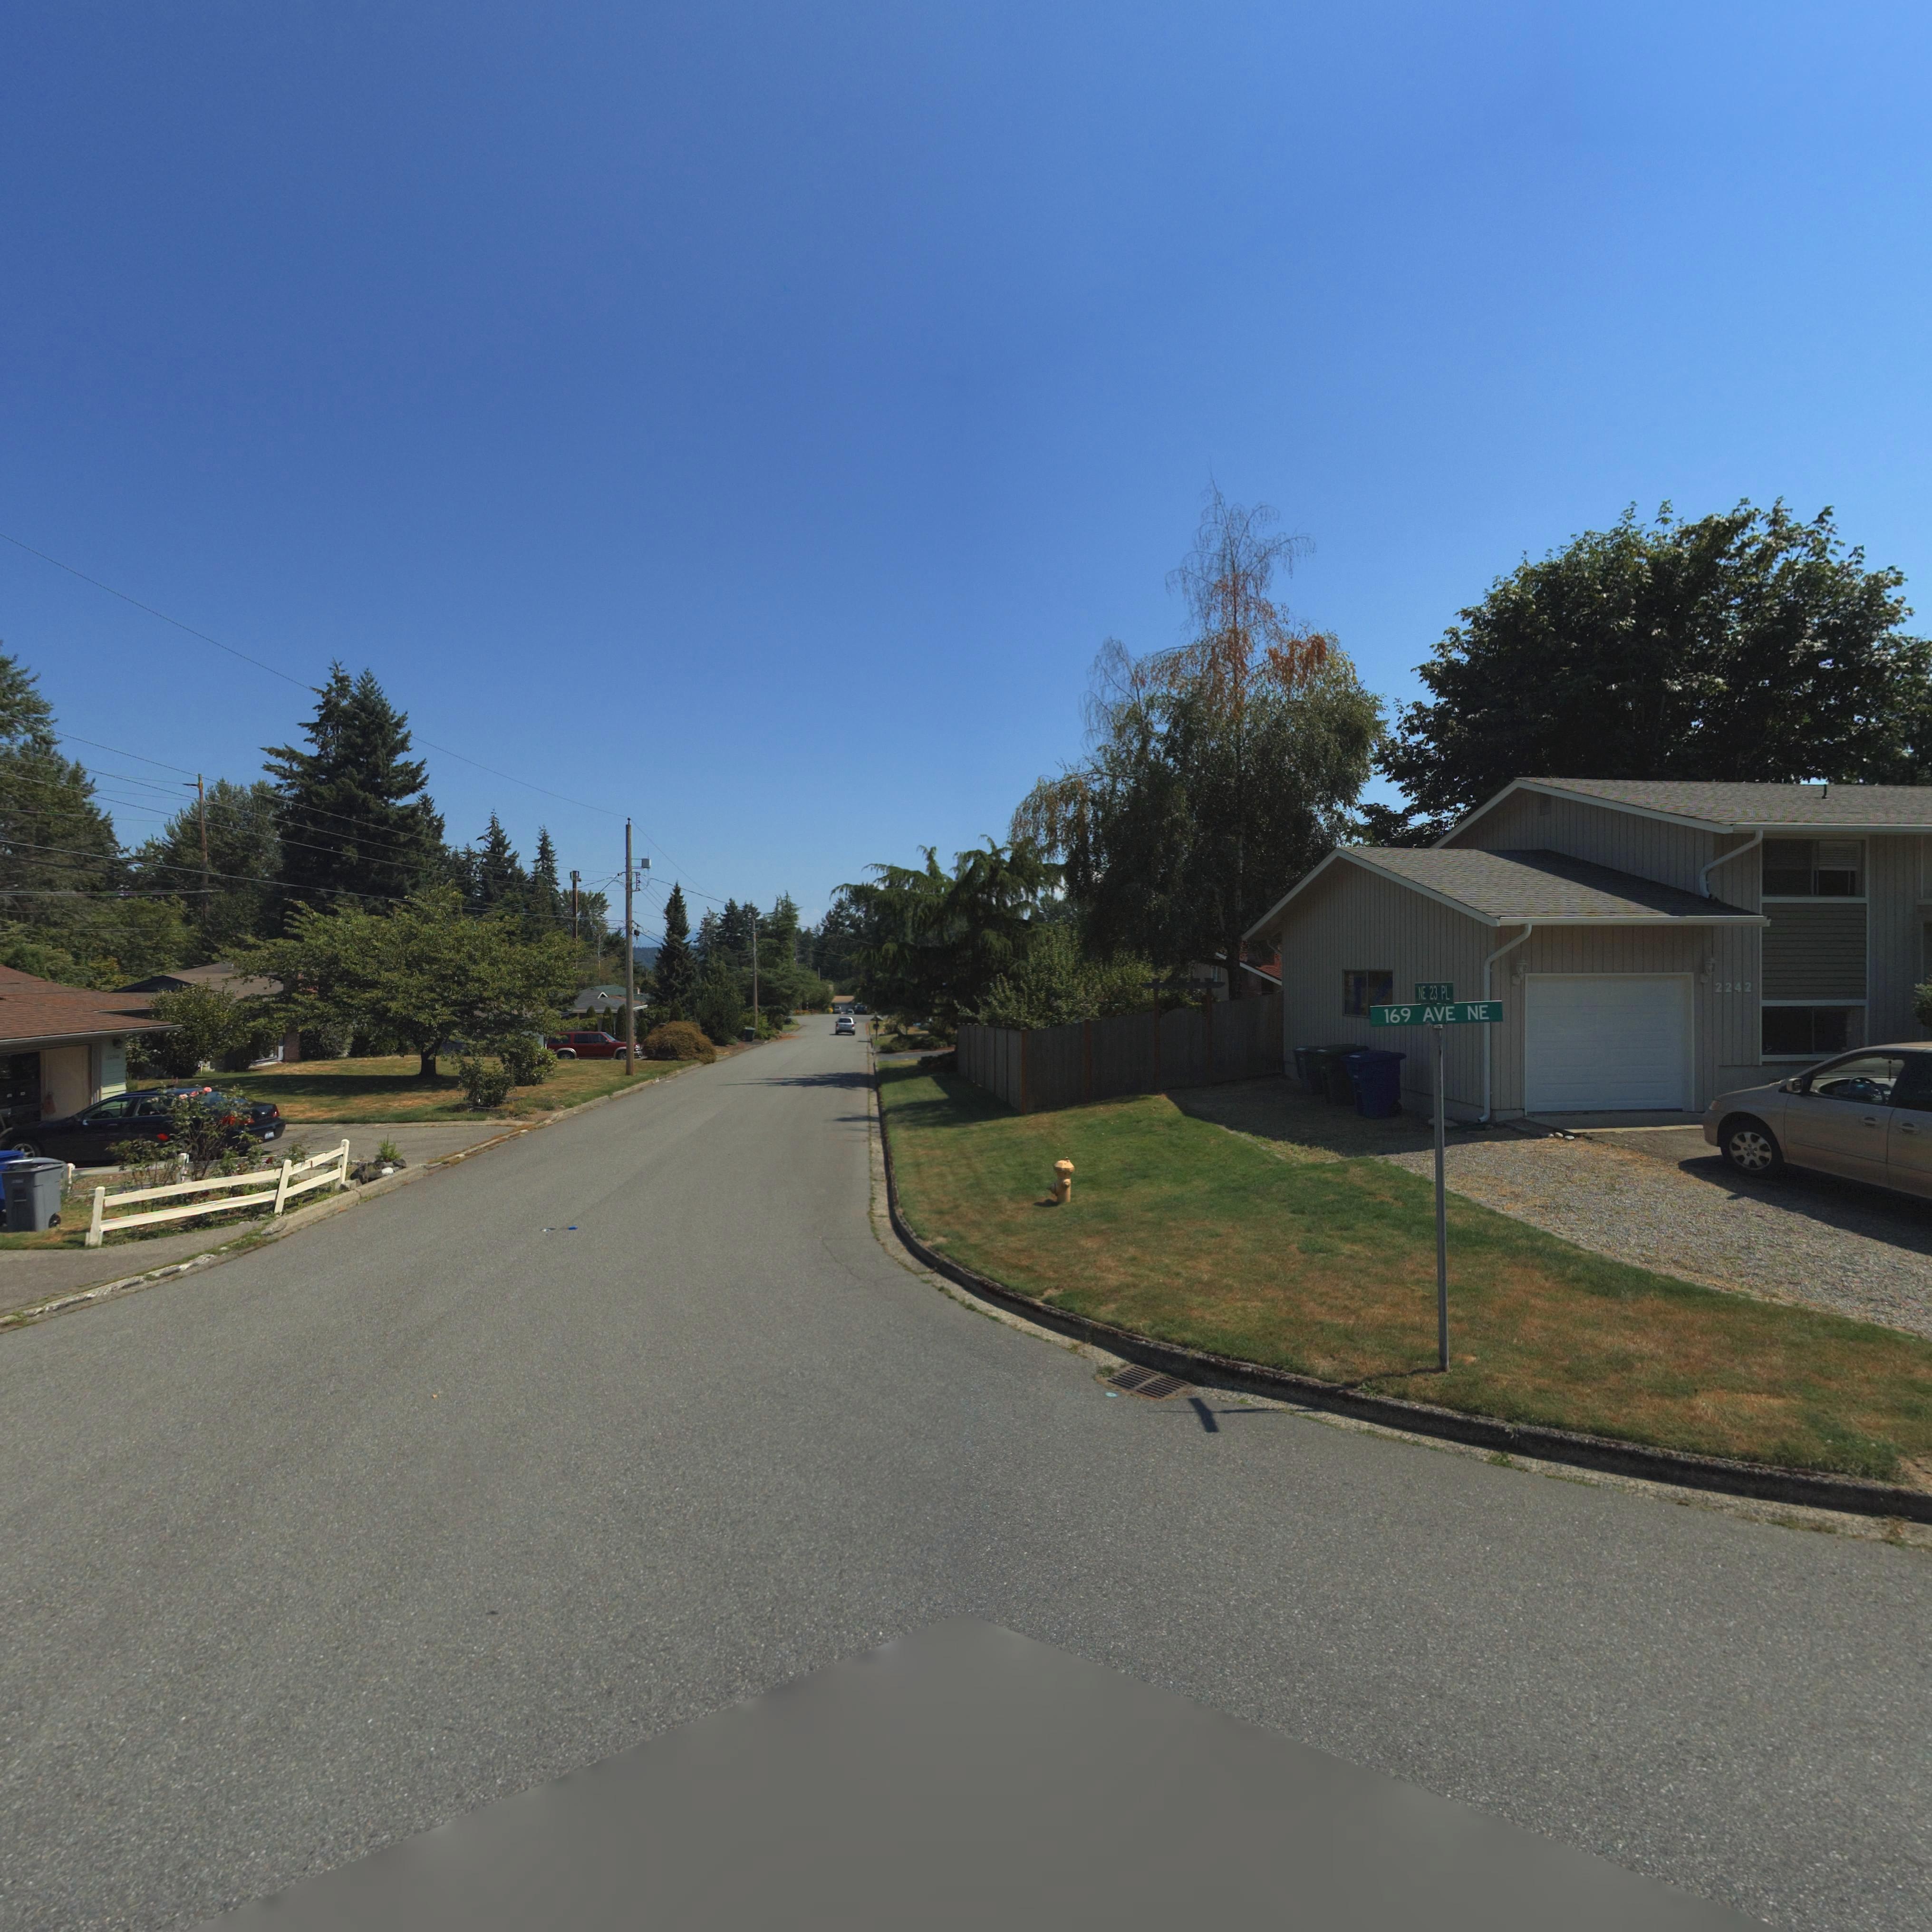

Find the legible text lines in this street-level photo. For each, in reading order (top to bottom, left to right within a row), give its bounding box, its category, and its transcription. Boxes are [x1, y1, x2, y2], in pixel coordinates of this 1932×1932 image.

[1418, 985, 1451, 1000] StreetName: NE 23 PL
[1713, 982, 1753, 992] StreetNumber: 2242
[1384, 1005, 1488, 1023] StreetName: 169 AVE NE